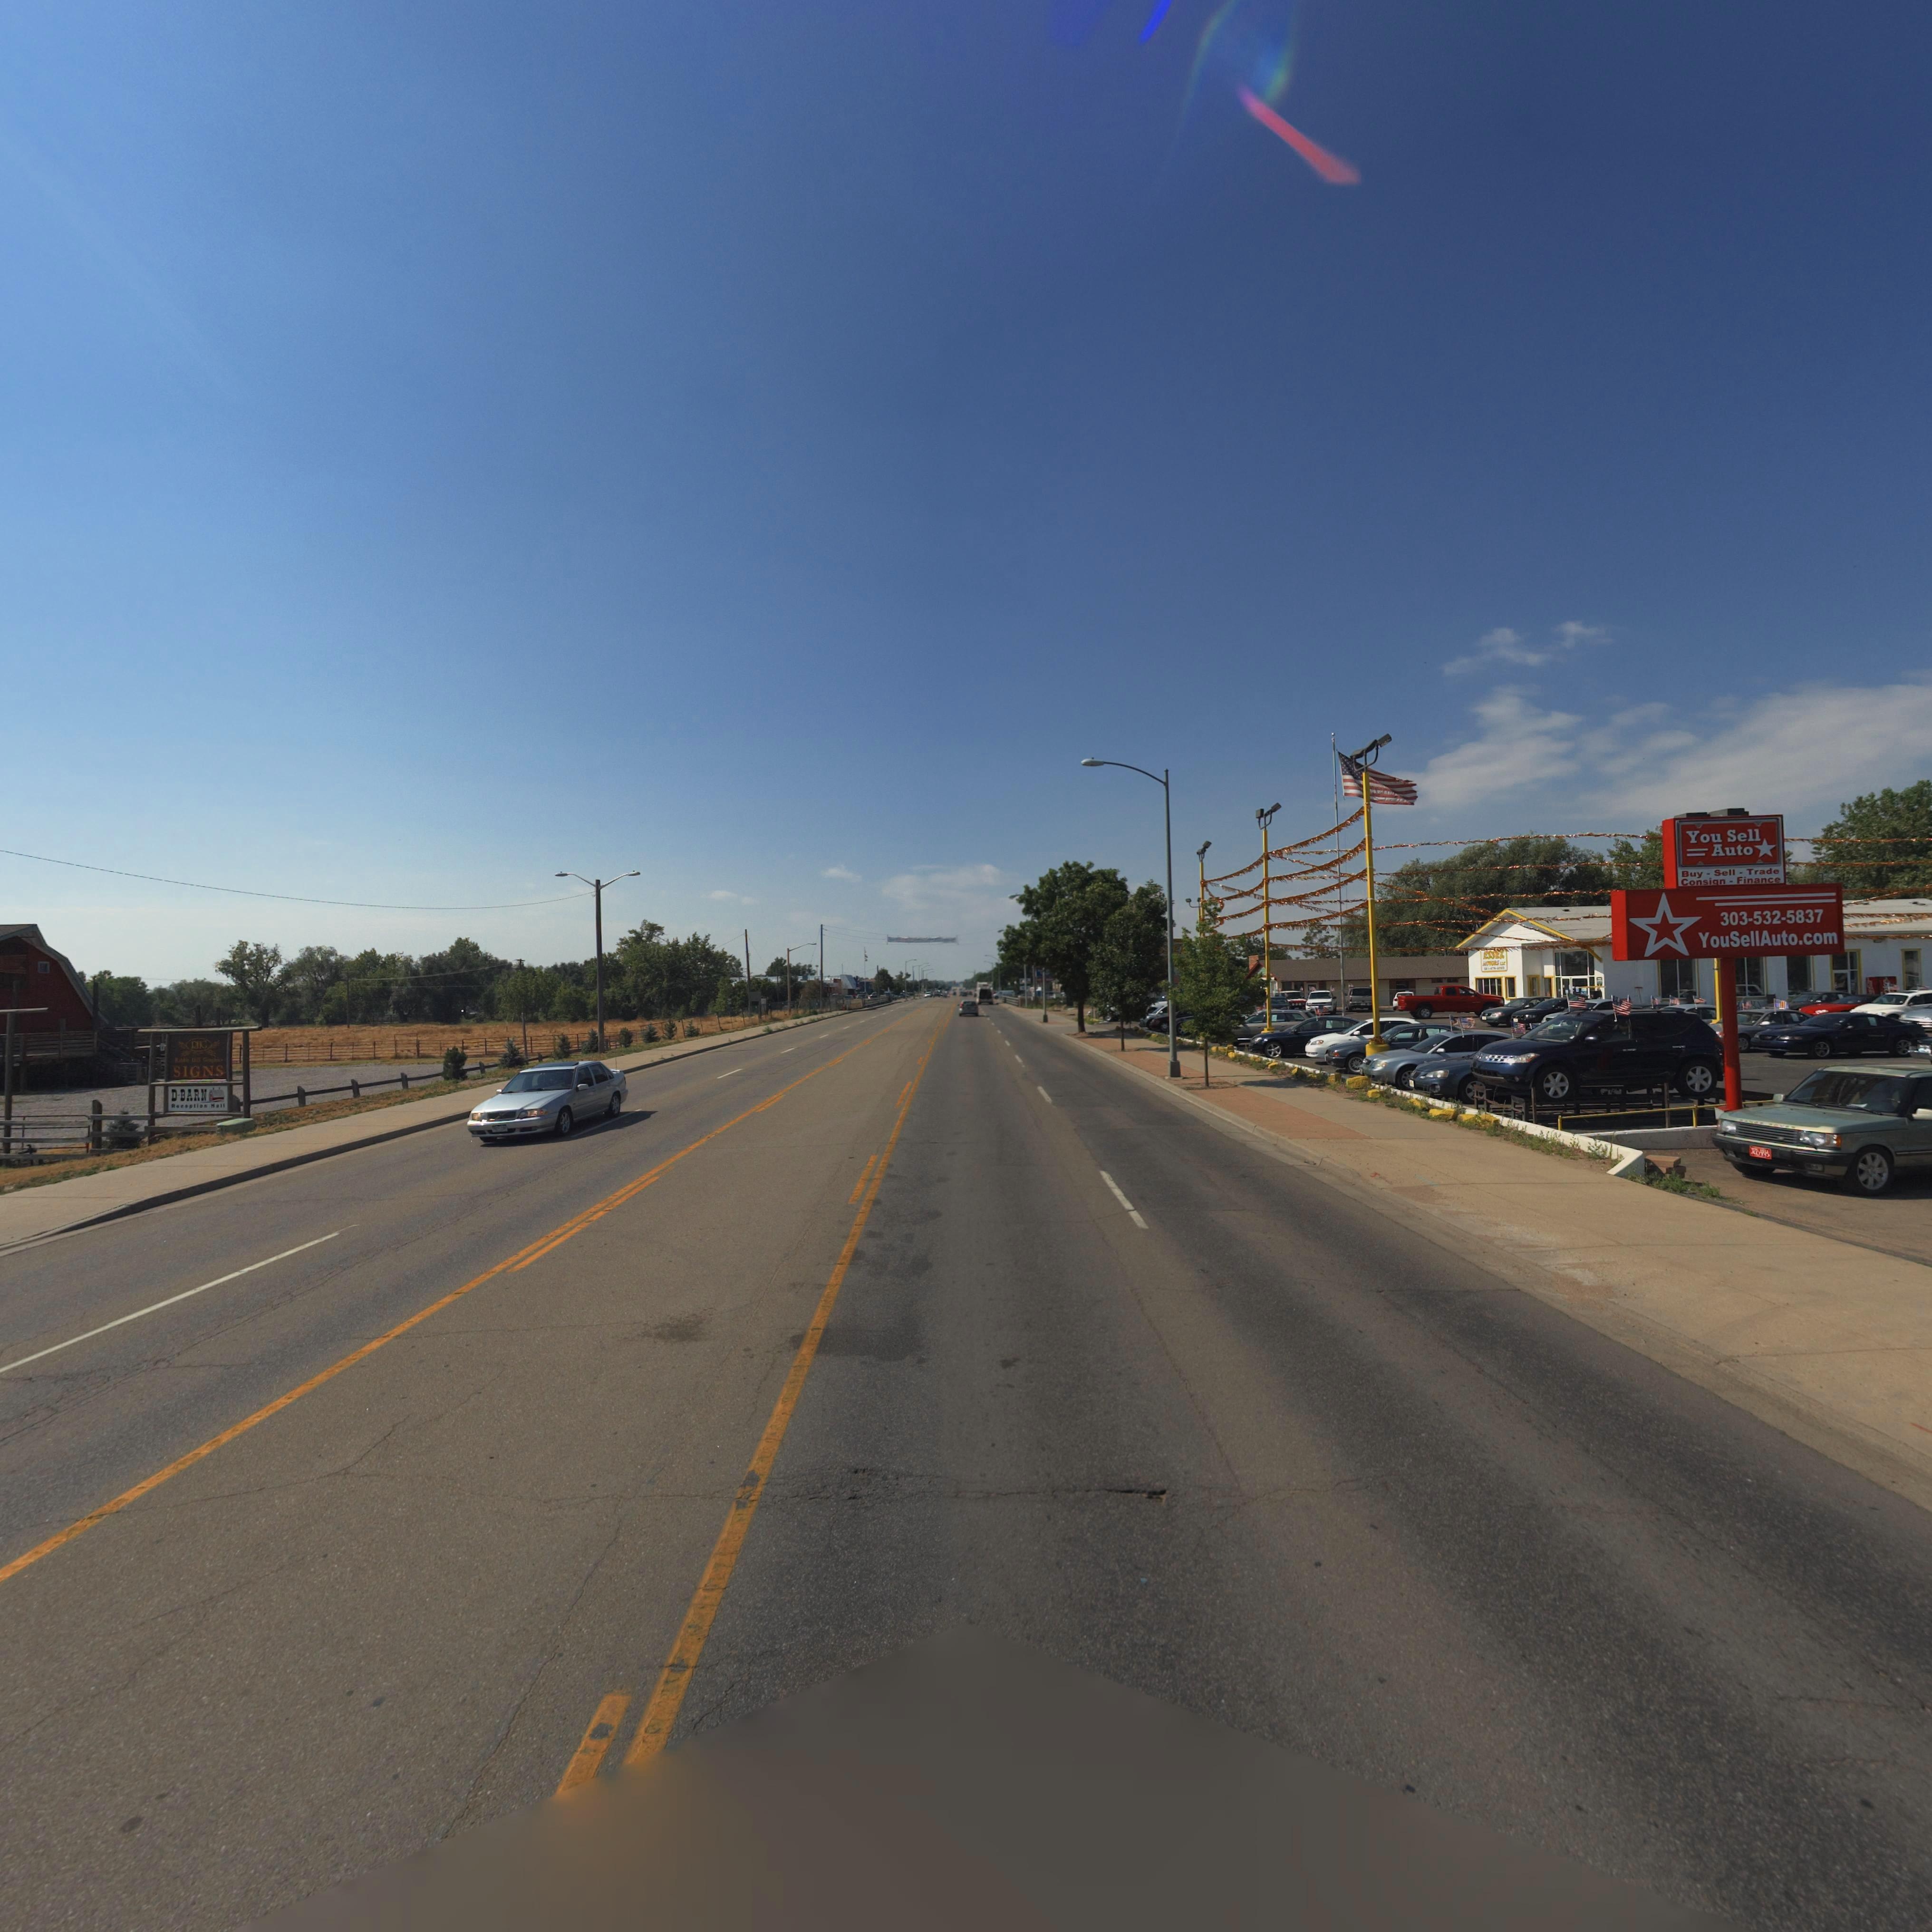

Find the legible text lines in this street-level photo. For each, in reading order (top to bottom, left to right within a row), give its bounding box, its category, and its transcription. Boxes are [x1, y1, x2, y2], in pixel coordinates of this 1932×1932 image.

[1686, 828, 1760, 843] BusinessName: You Sell
[1711, 844, 1753, 856] BusinessName: Auto
[1483, 950, 1504, 959] BusinessName: *SS**
[1483, 960, 1505, 966] BusinessName: *OTO*S ***
[171, 1088, 207, 1101] BusinessName: D-BARN